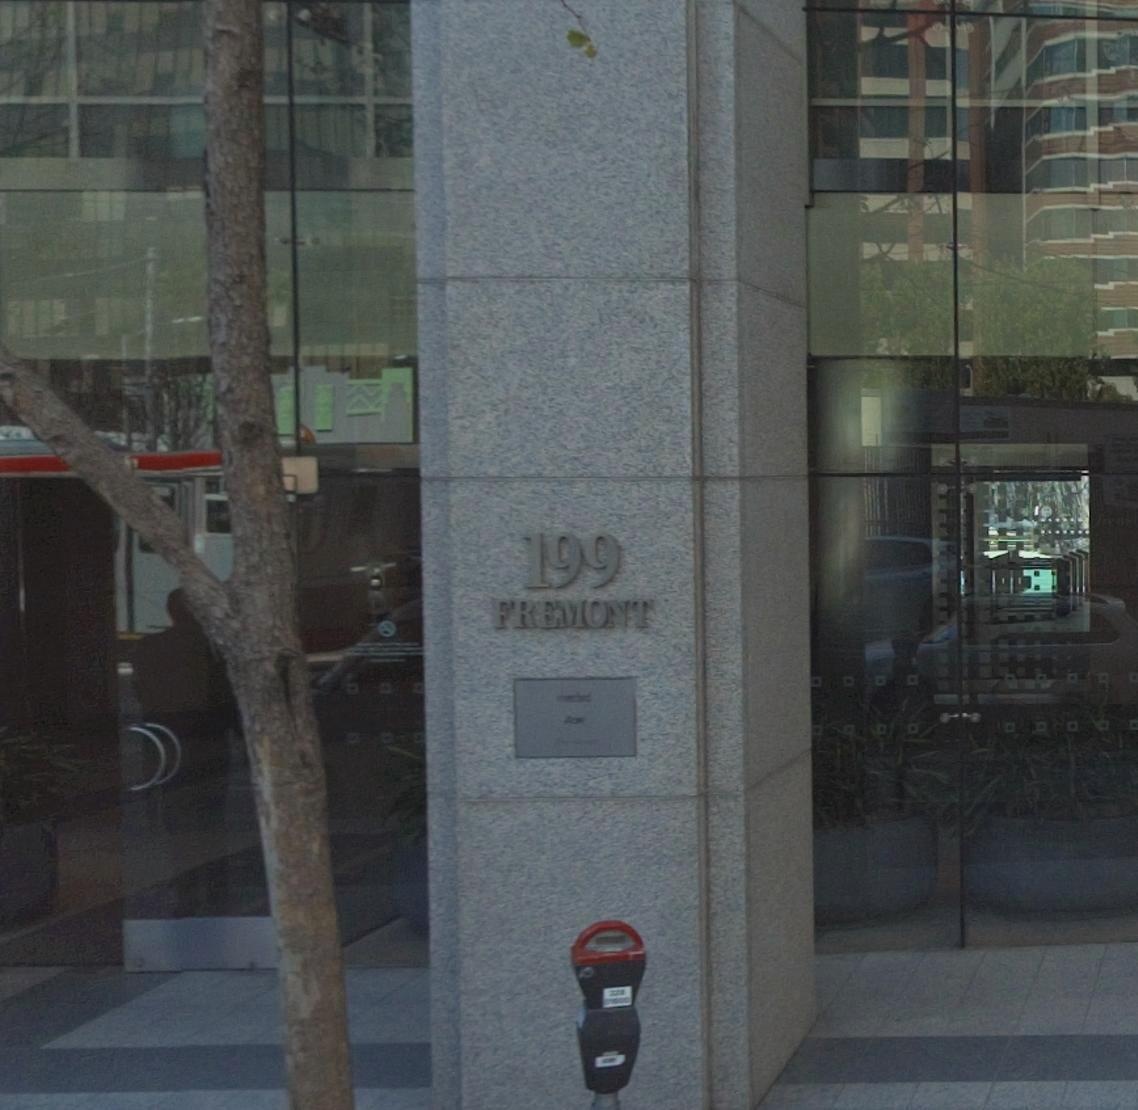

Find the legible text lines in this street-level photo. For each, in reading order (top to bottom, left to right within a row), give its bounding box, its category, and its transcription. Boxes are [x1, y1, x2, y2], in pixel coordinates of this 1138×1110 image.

[517, 526, 621, 593] StreetNumber: 199
[491, 595, 653, 633] StreetName: FREMONT